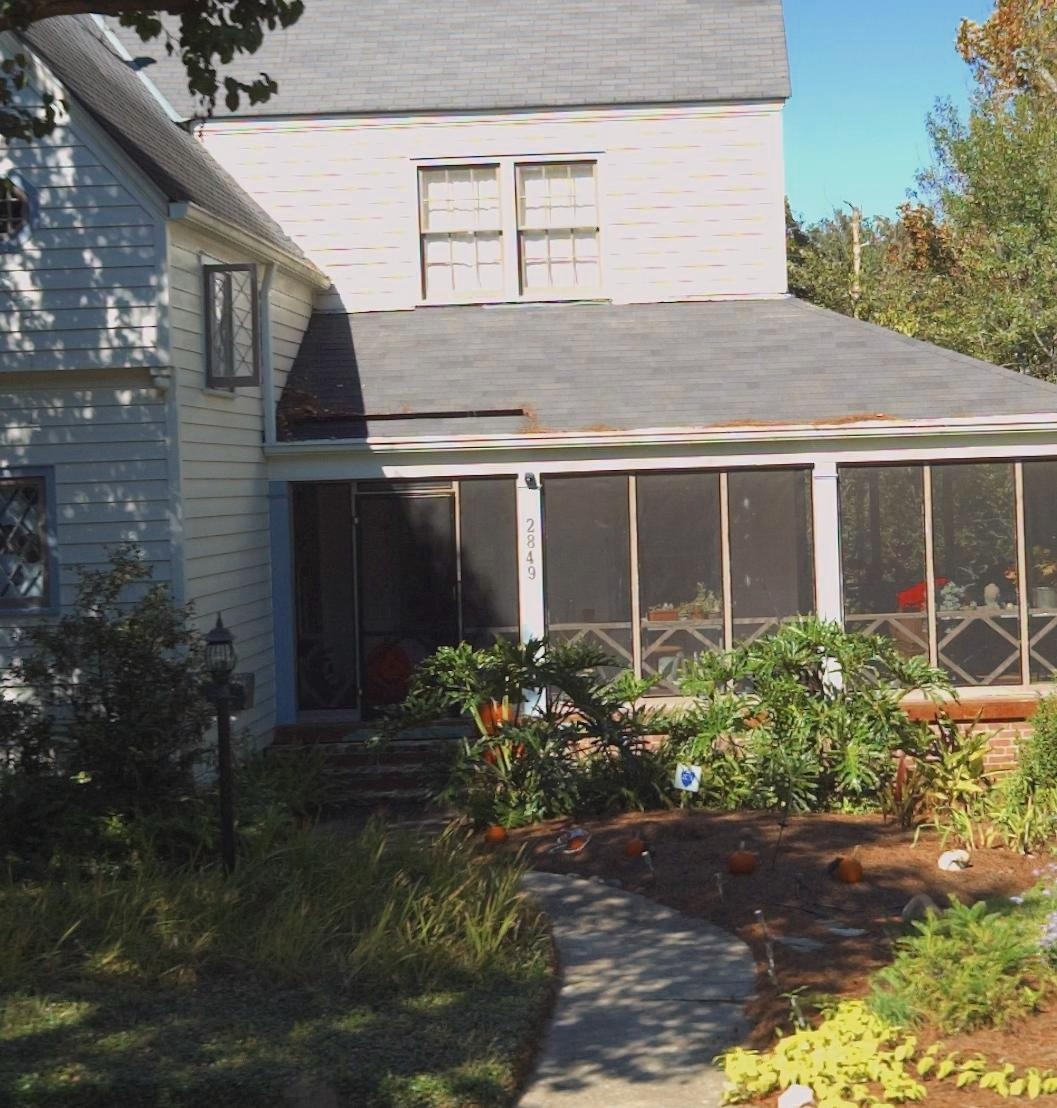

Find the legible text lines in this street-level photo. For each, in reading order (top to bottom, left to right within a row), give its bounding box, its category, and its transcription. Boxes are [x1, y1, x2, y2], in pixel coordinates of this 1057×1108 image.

[524, 516, 538, 582] StreetNumber: 2849